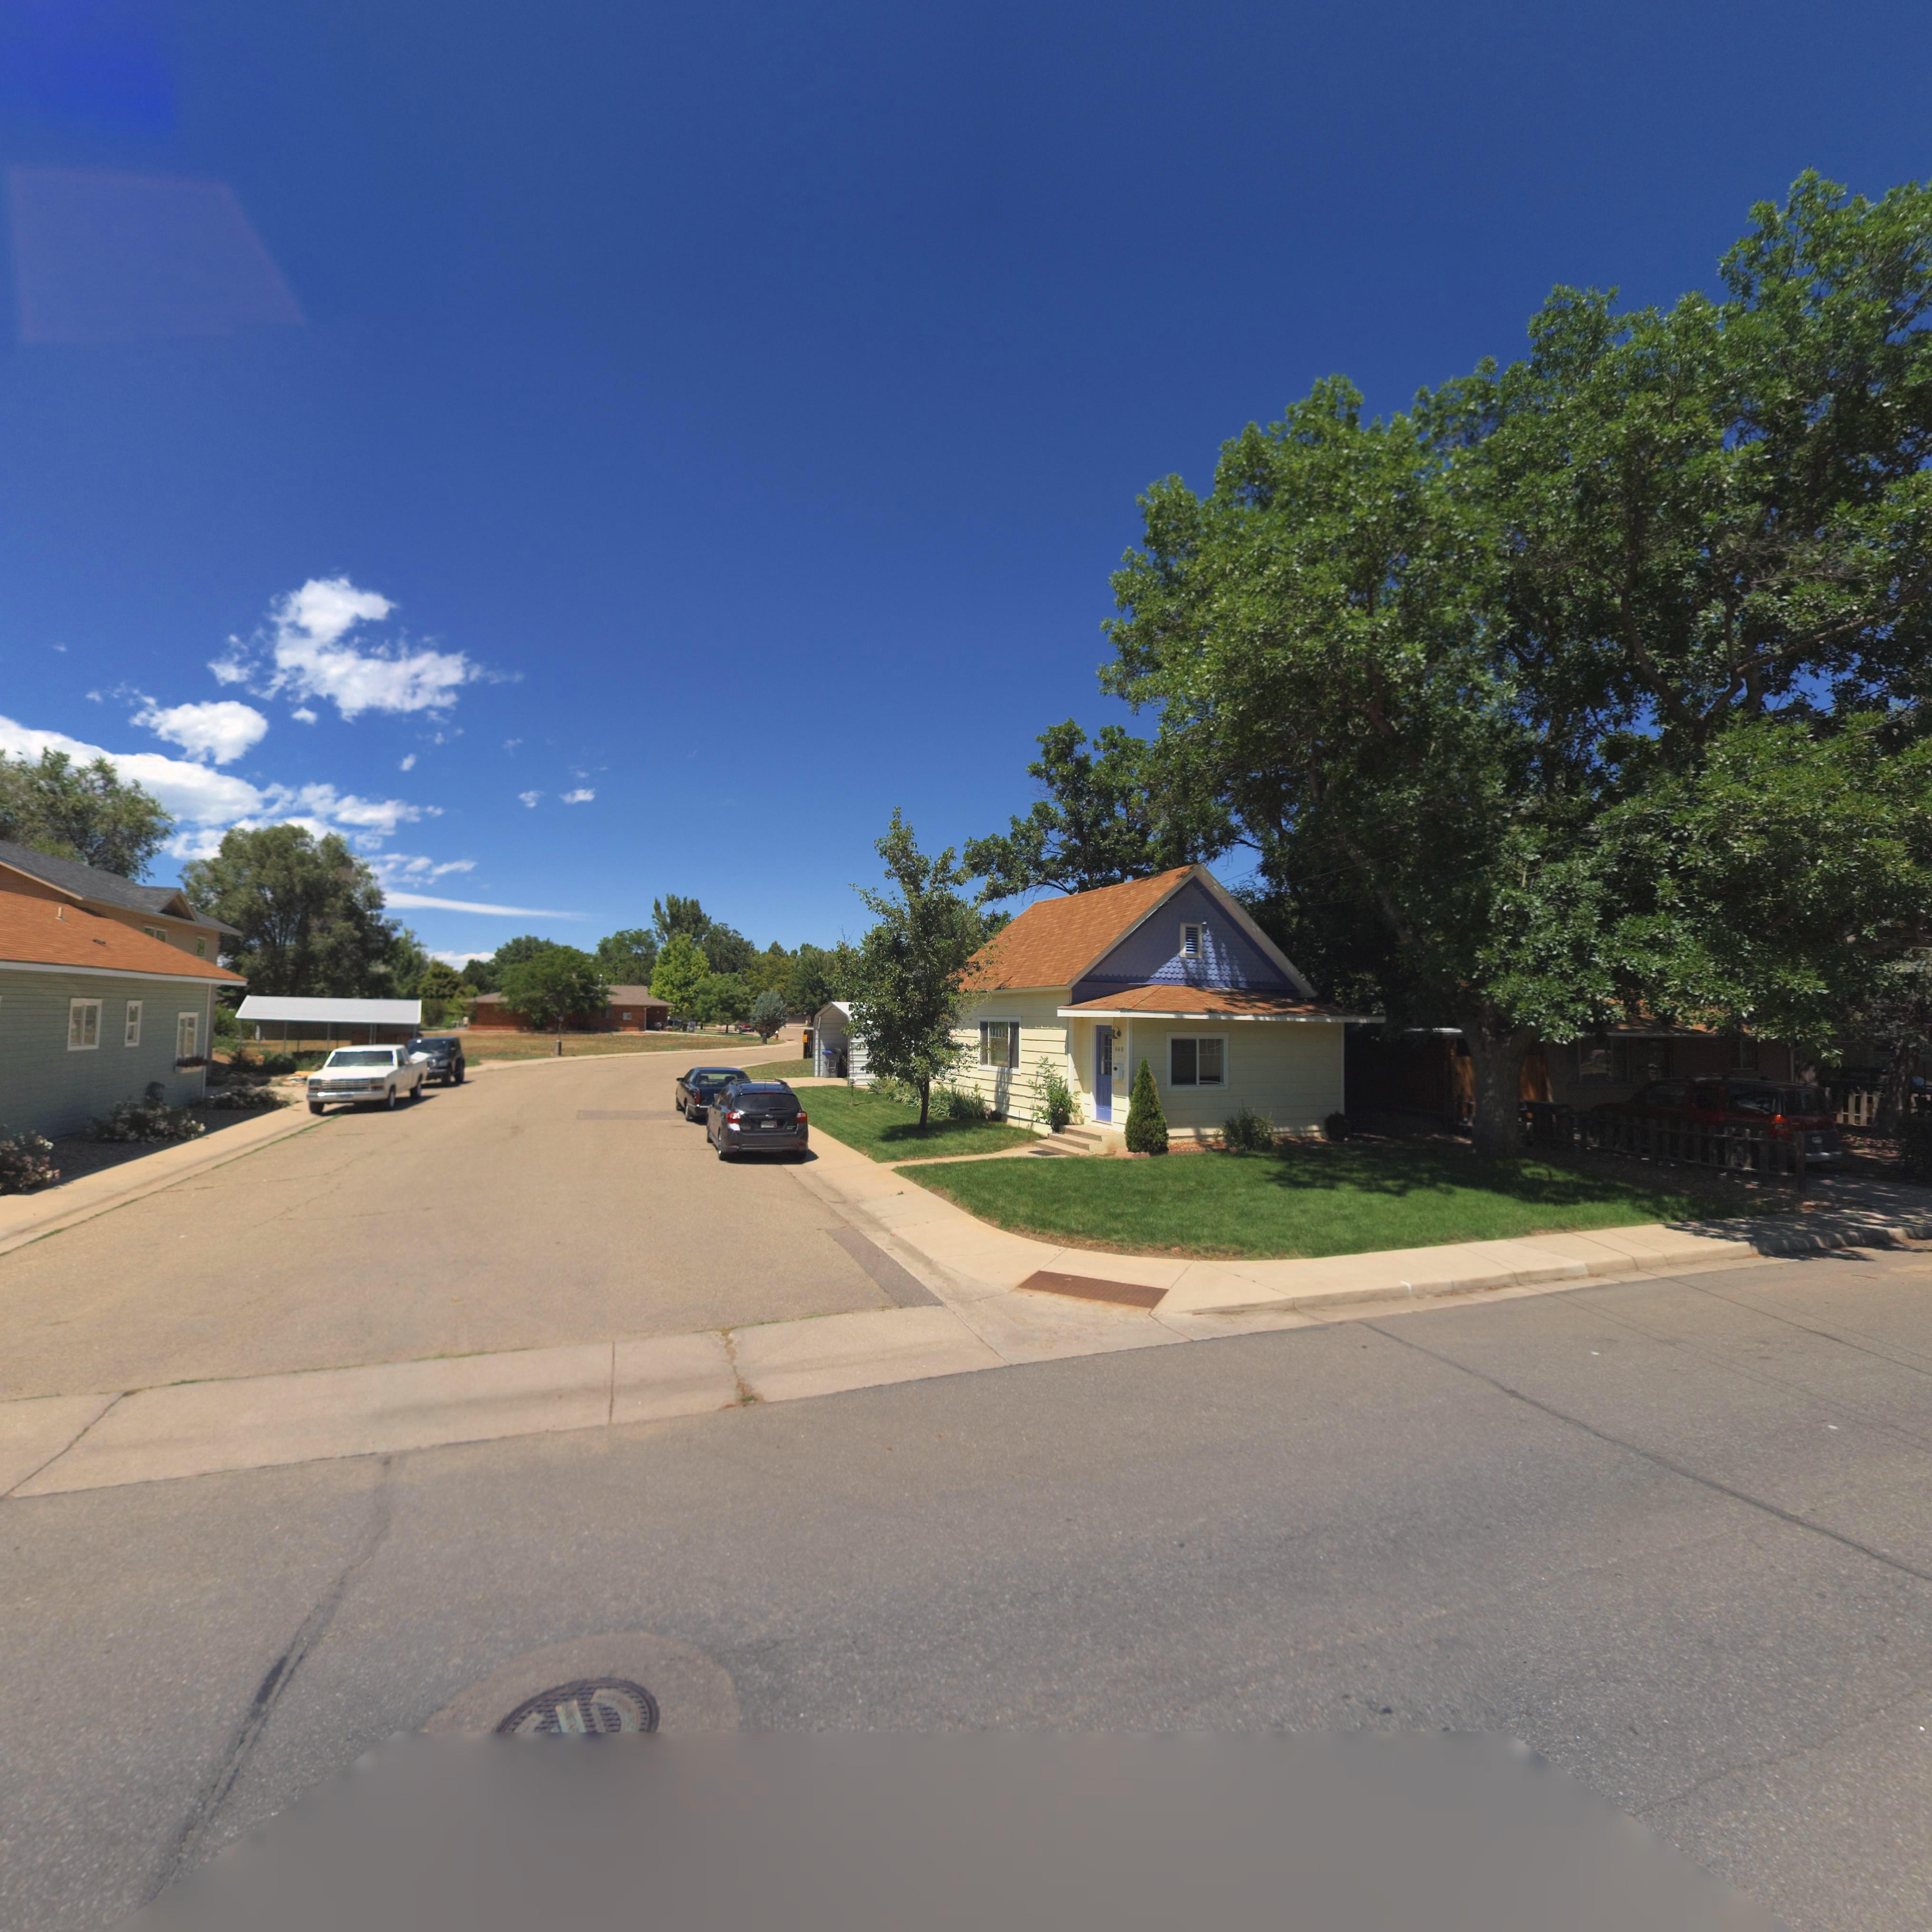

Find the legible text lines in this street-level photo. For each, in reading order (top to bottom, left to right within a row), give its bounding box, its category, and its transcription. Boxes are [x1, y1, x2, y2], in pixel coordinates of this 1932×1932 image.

[1114, 1046, 1123, 1052] StreetNumber: 948